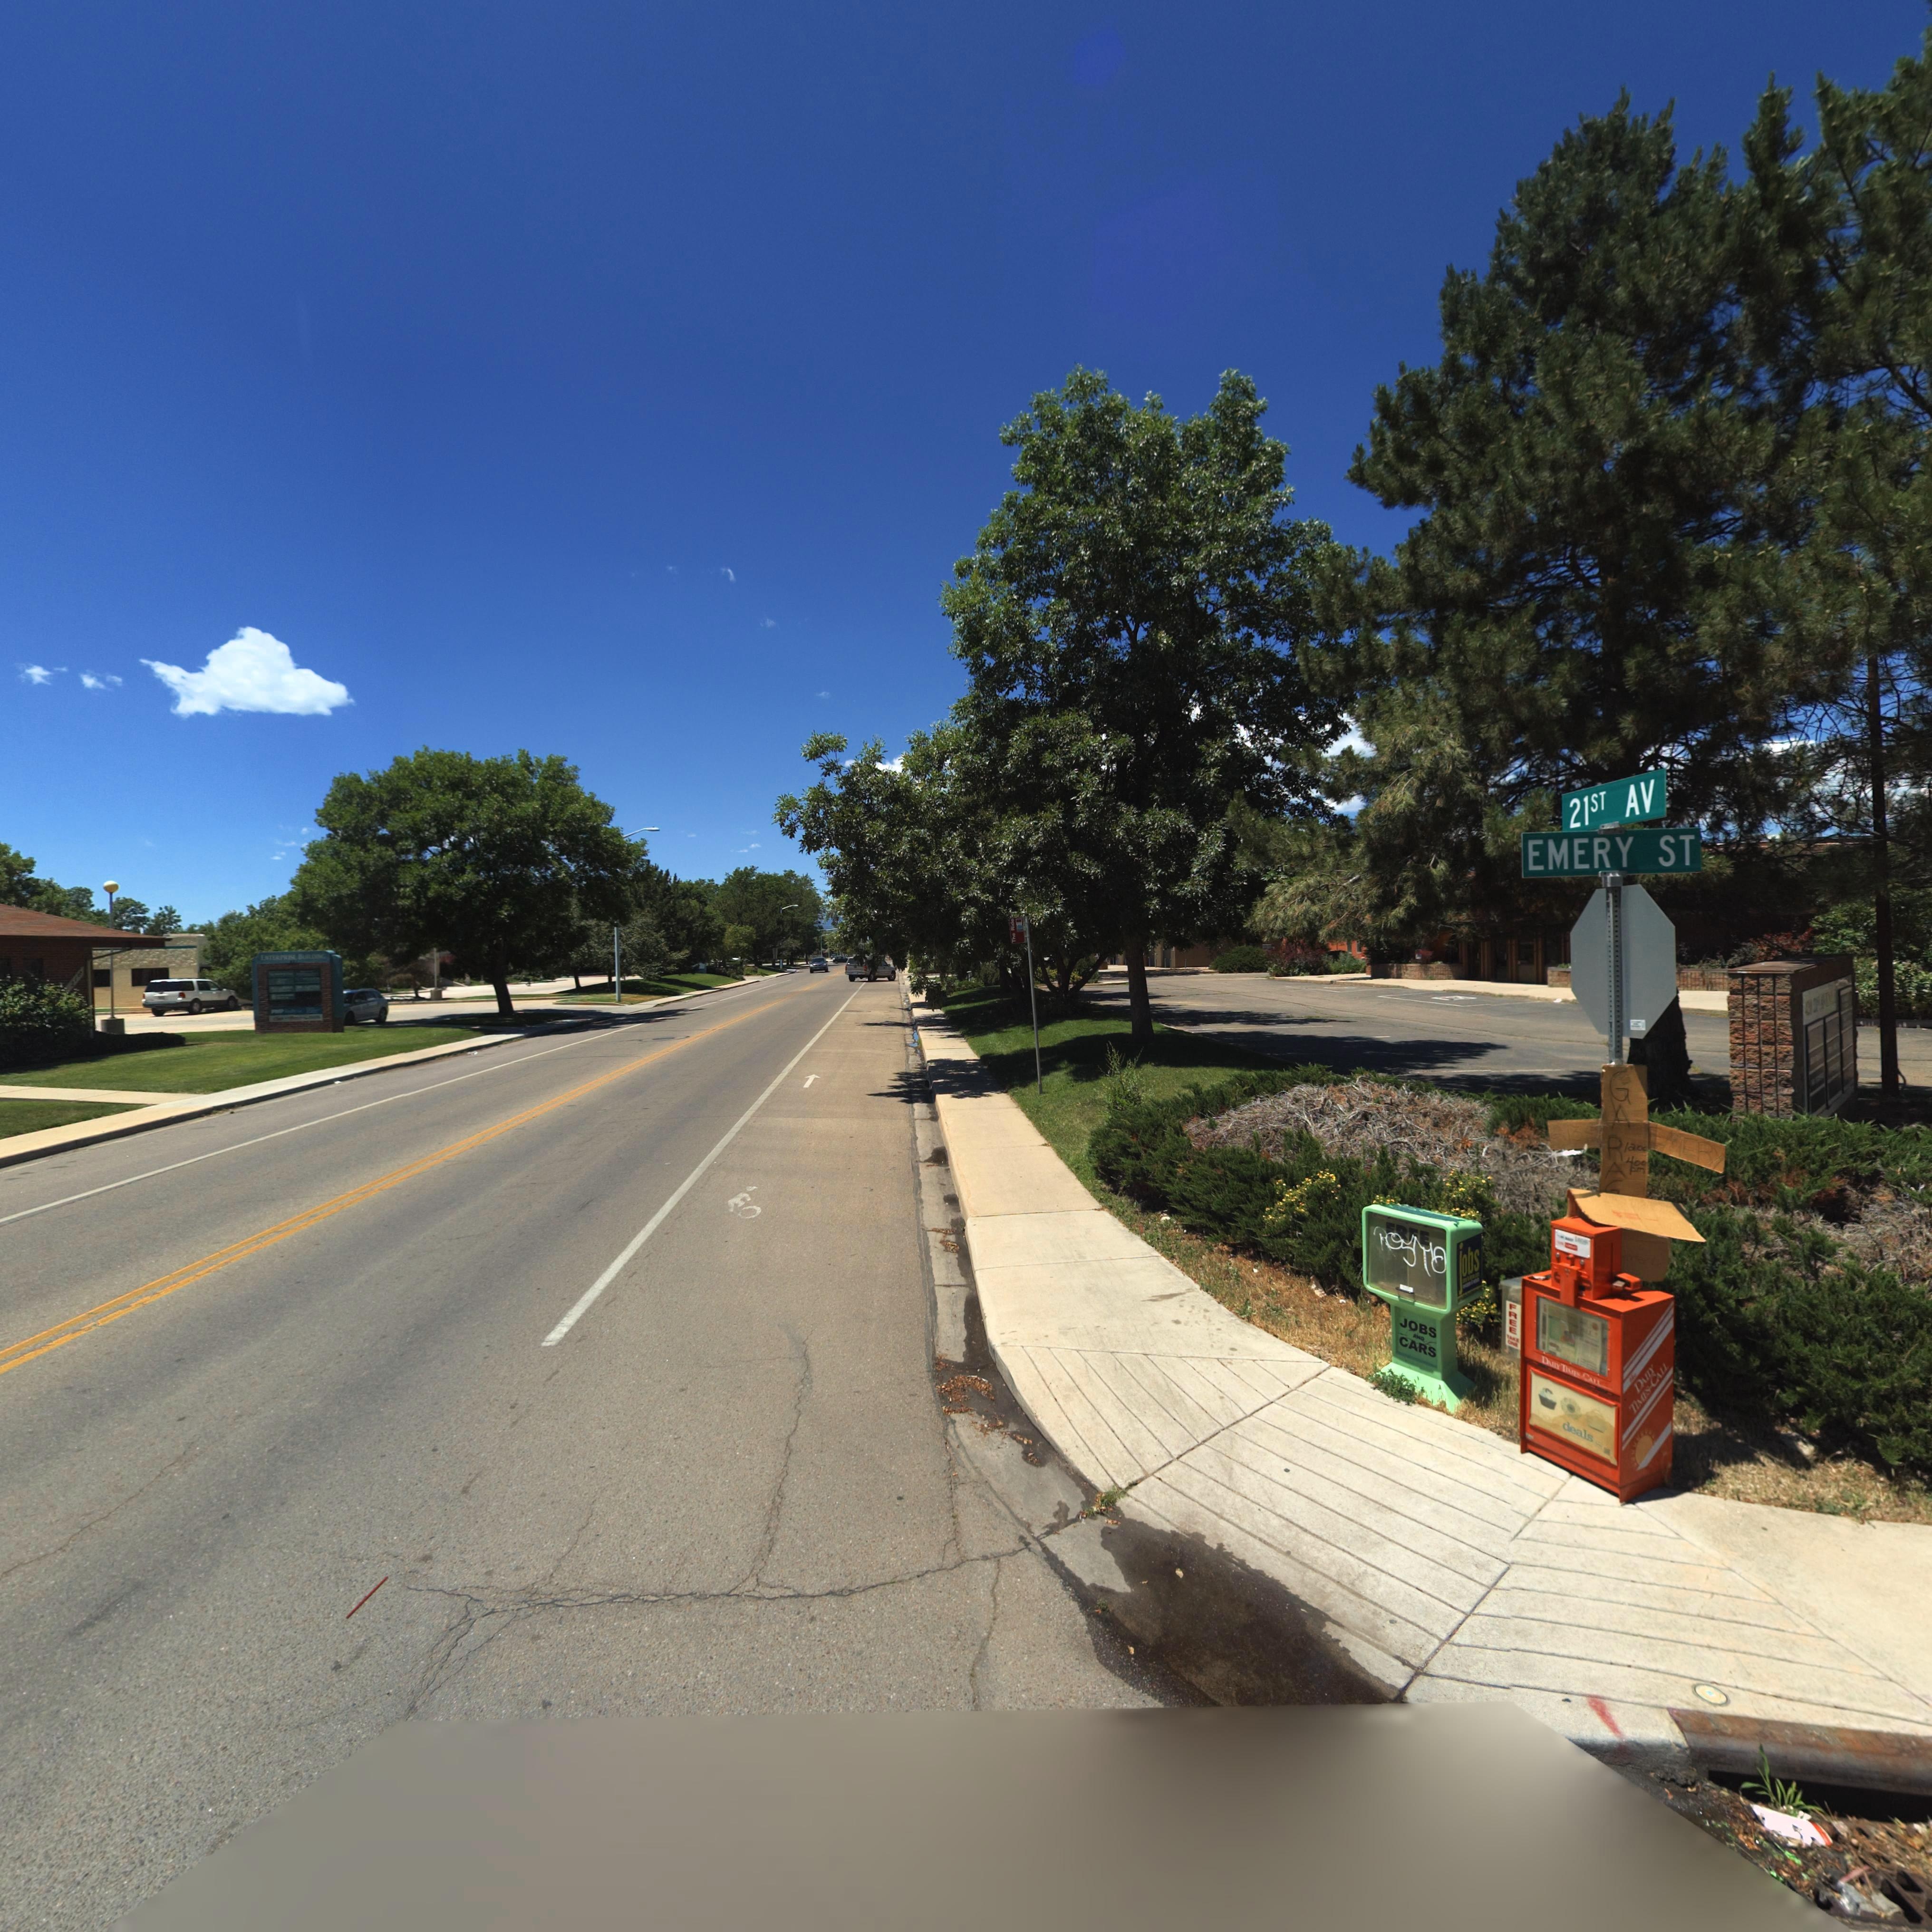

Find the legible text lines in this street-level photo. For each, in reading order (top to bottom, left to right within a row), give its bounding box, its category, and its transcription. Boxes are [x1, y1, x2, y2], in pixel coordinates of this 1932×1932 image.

[1565, 775, 1660, 831] StreetName: 21ST AV
[1525, 832, 1700, 874] StreetName: EMERY ST